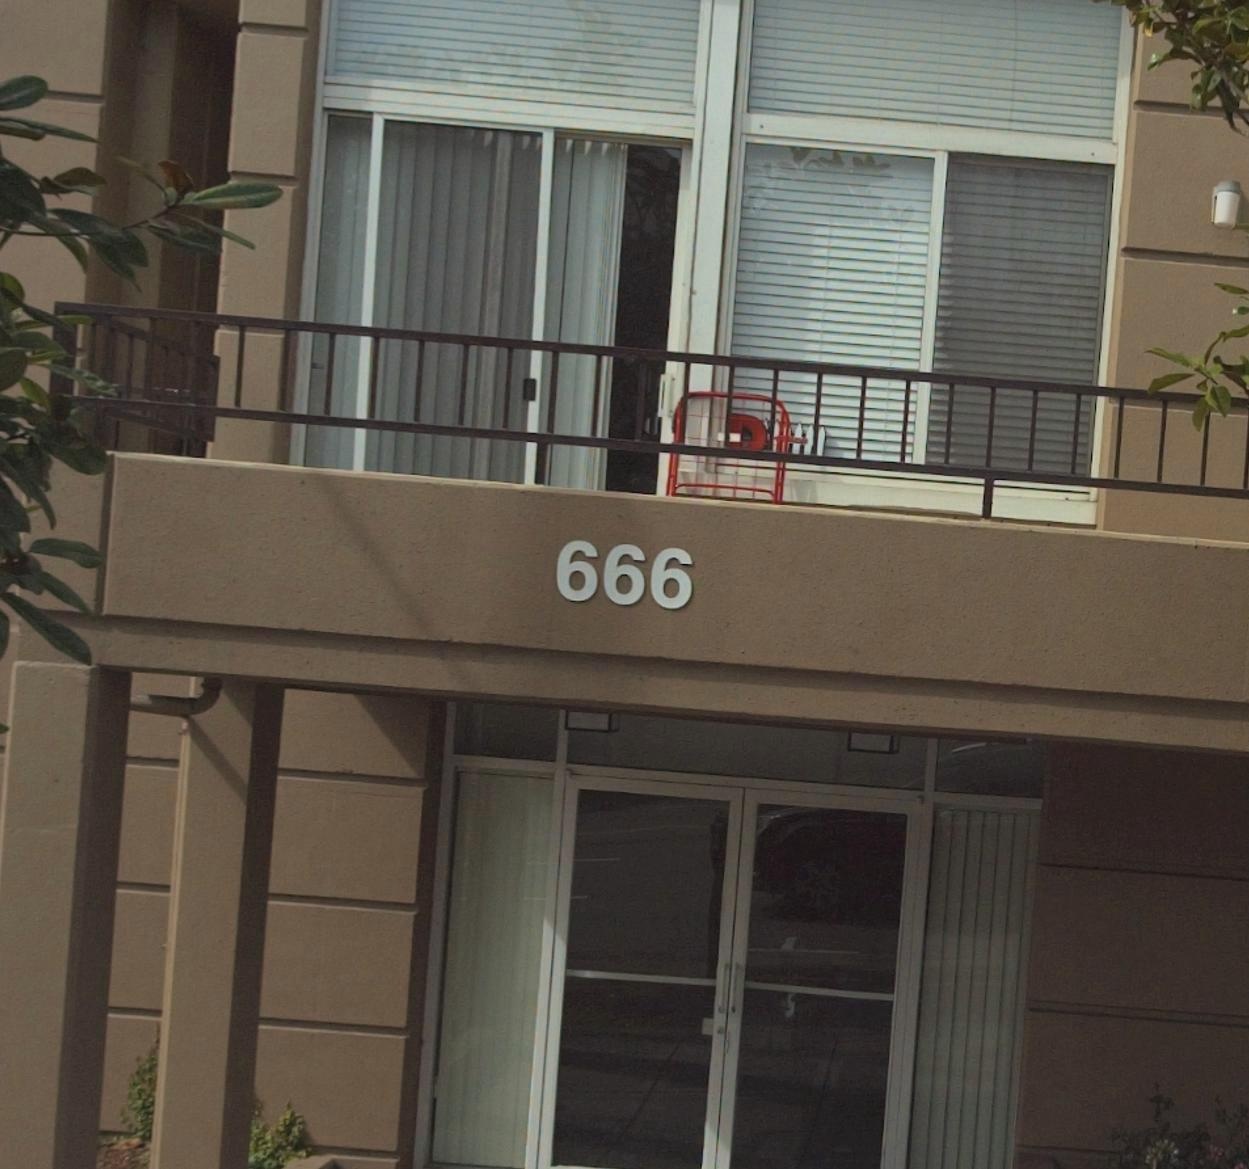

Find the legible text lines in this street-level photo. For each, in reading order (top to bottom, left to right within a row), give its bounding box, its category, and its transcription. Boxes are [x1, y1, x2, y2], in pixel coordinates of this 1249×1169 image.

[551, 535, 697, 613] StreetNumber: 666